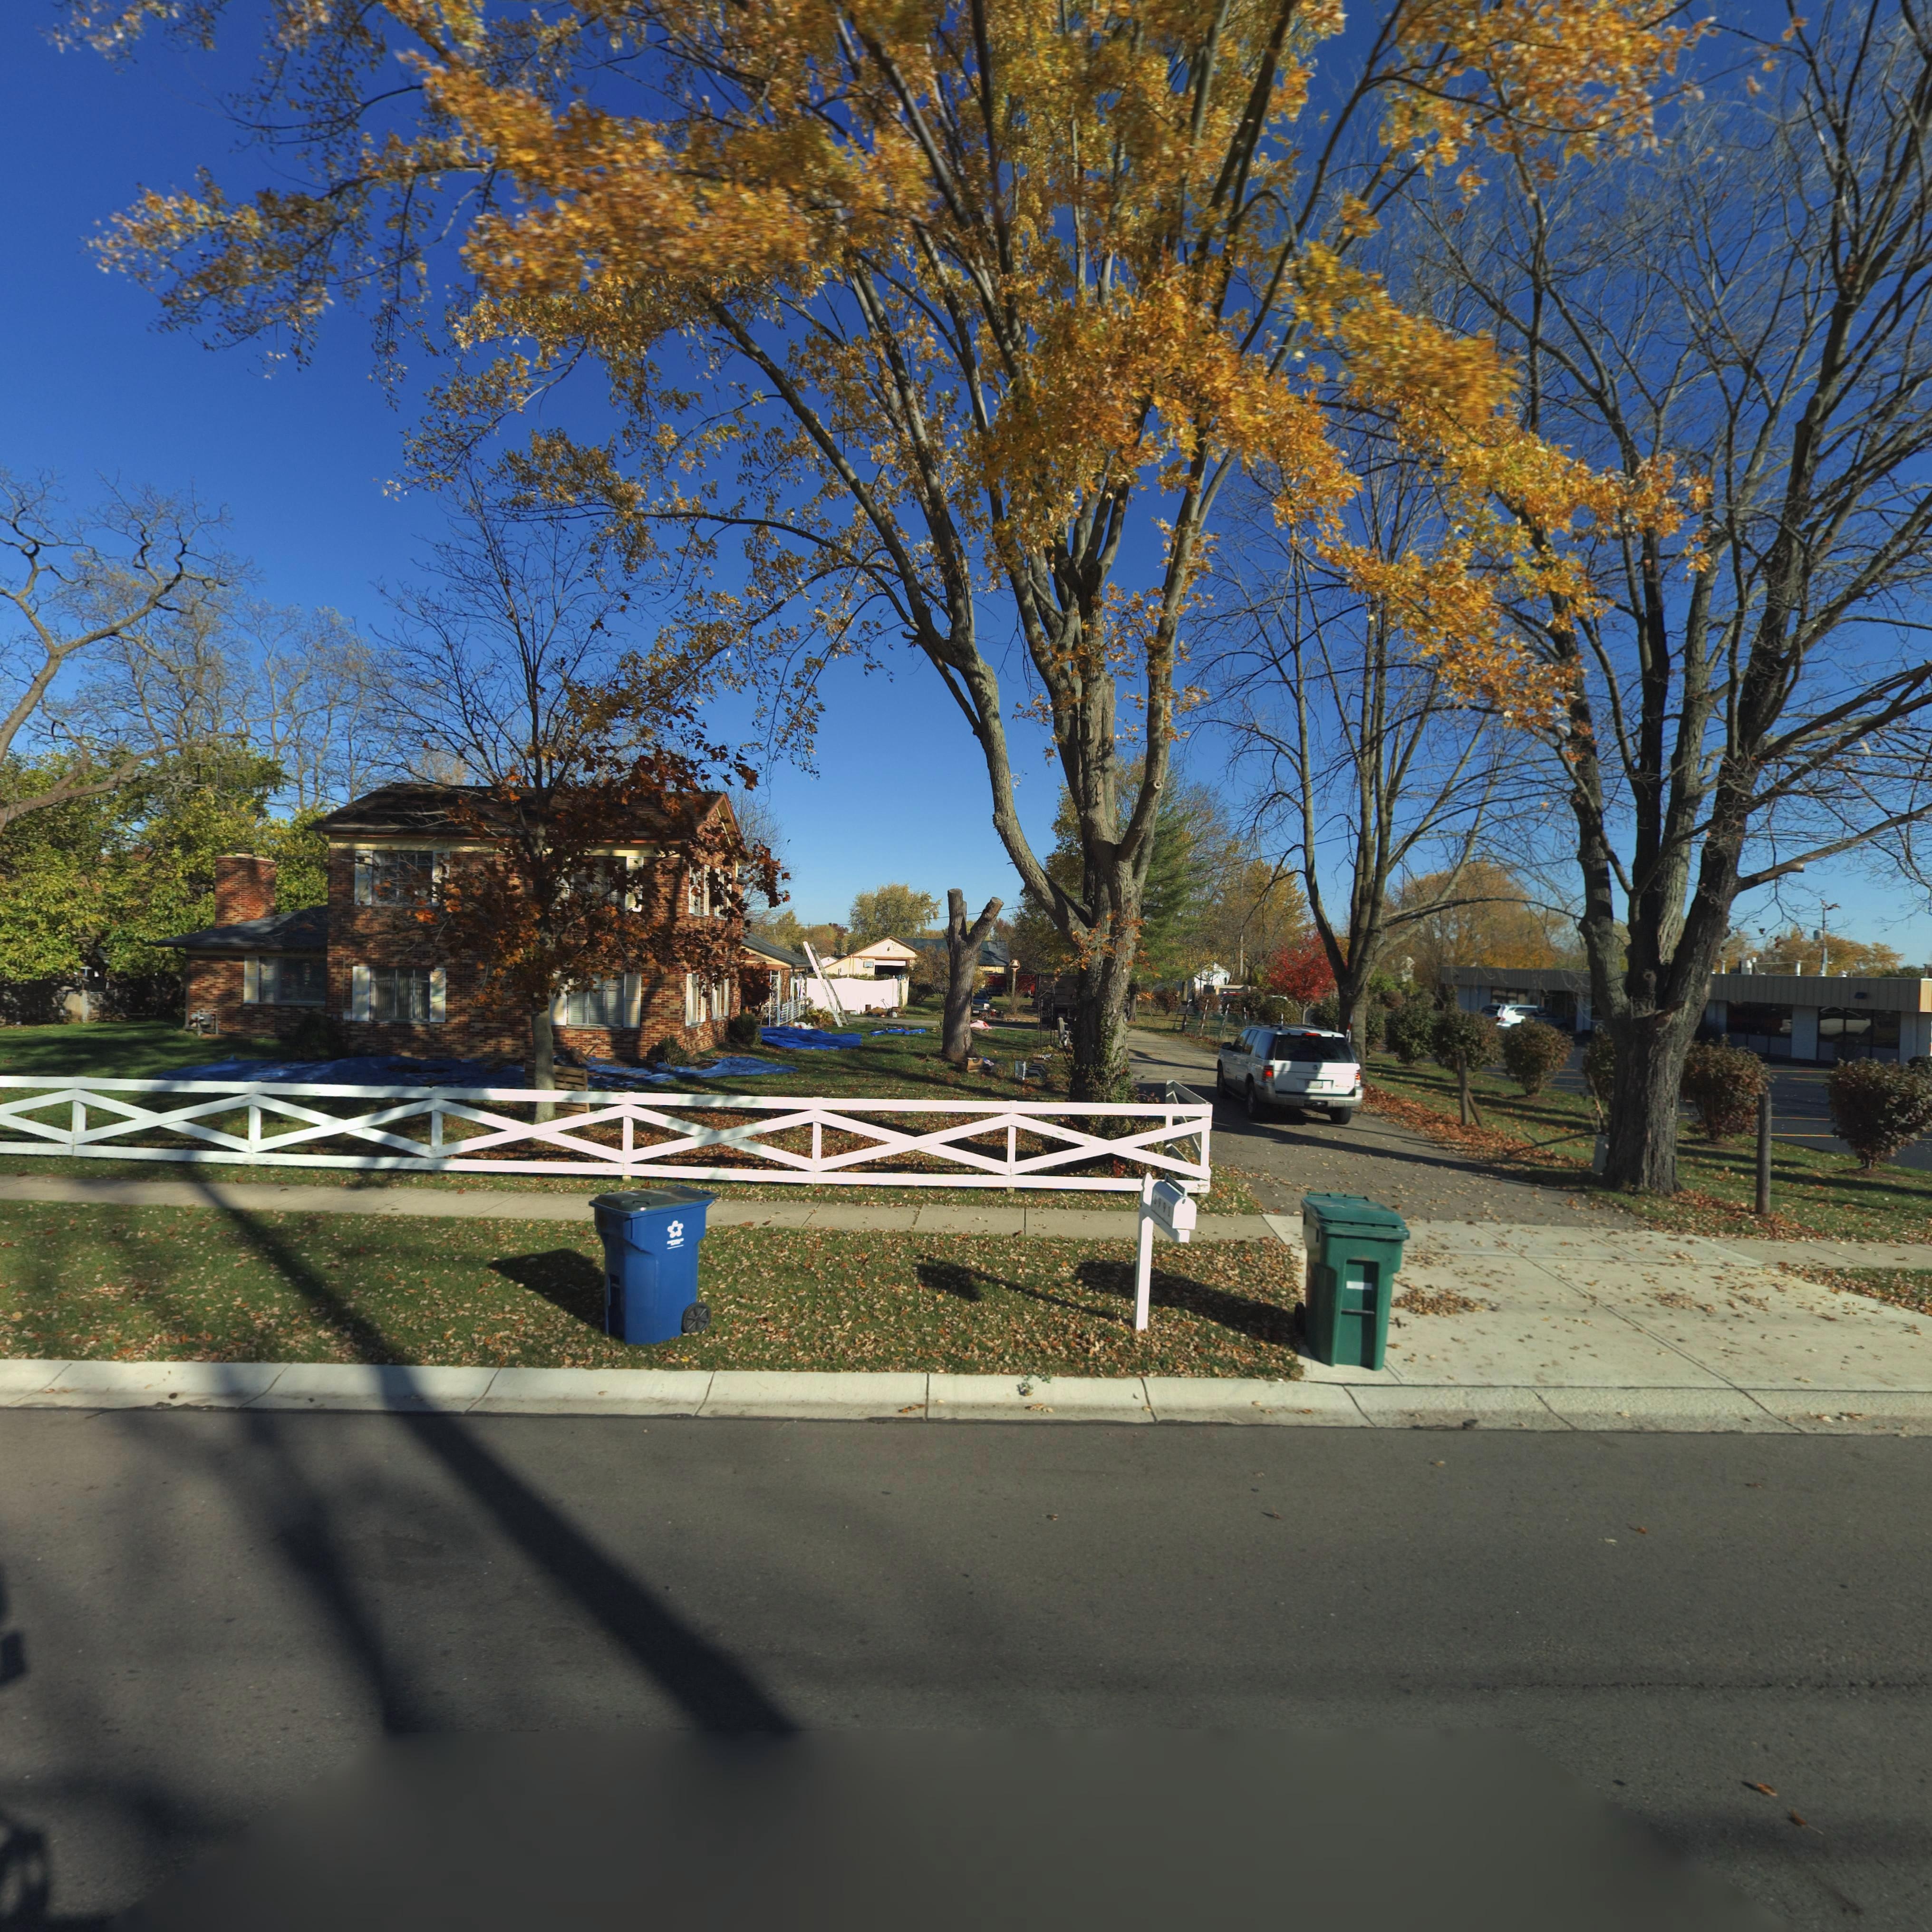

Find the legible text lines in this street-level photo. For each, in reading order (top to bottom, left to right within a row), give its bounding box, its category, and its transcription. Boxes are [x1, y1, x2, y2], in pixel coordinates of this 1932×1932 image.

[1152, 1193, 1171, 1220] StreetNumber: 6991